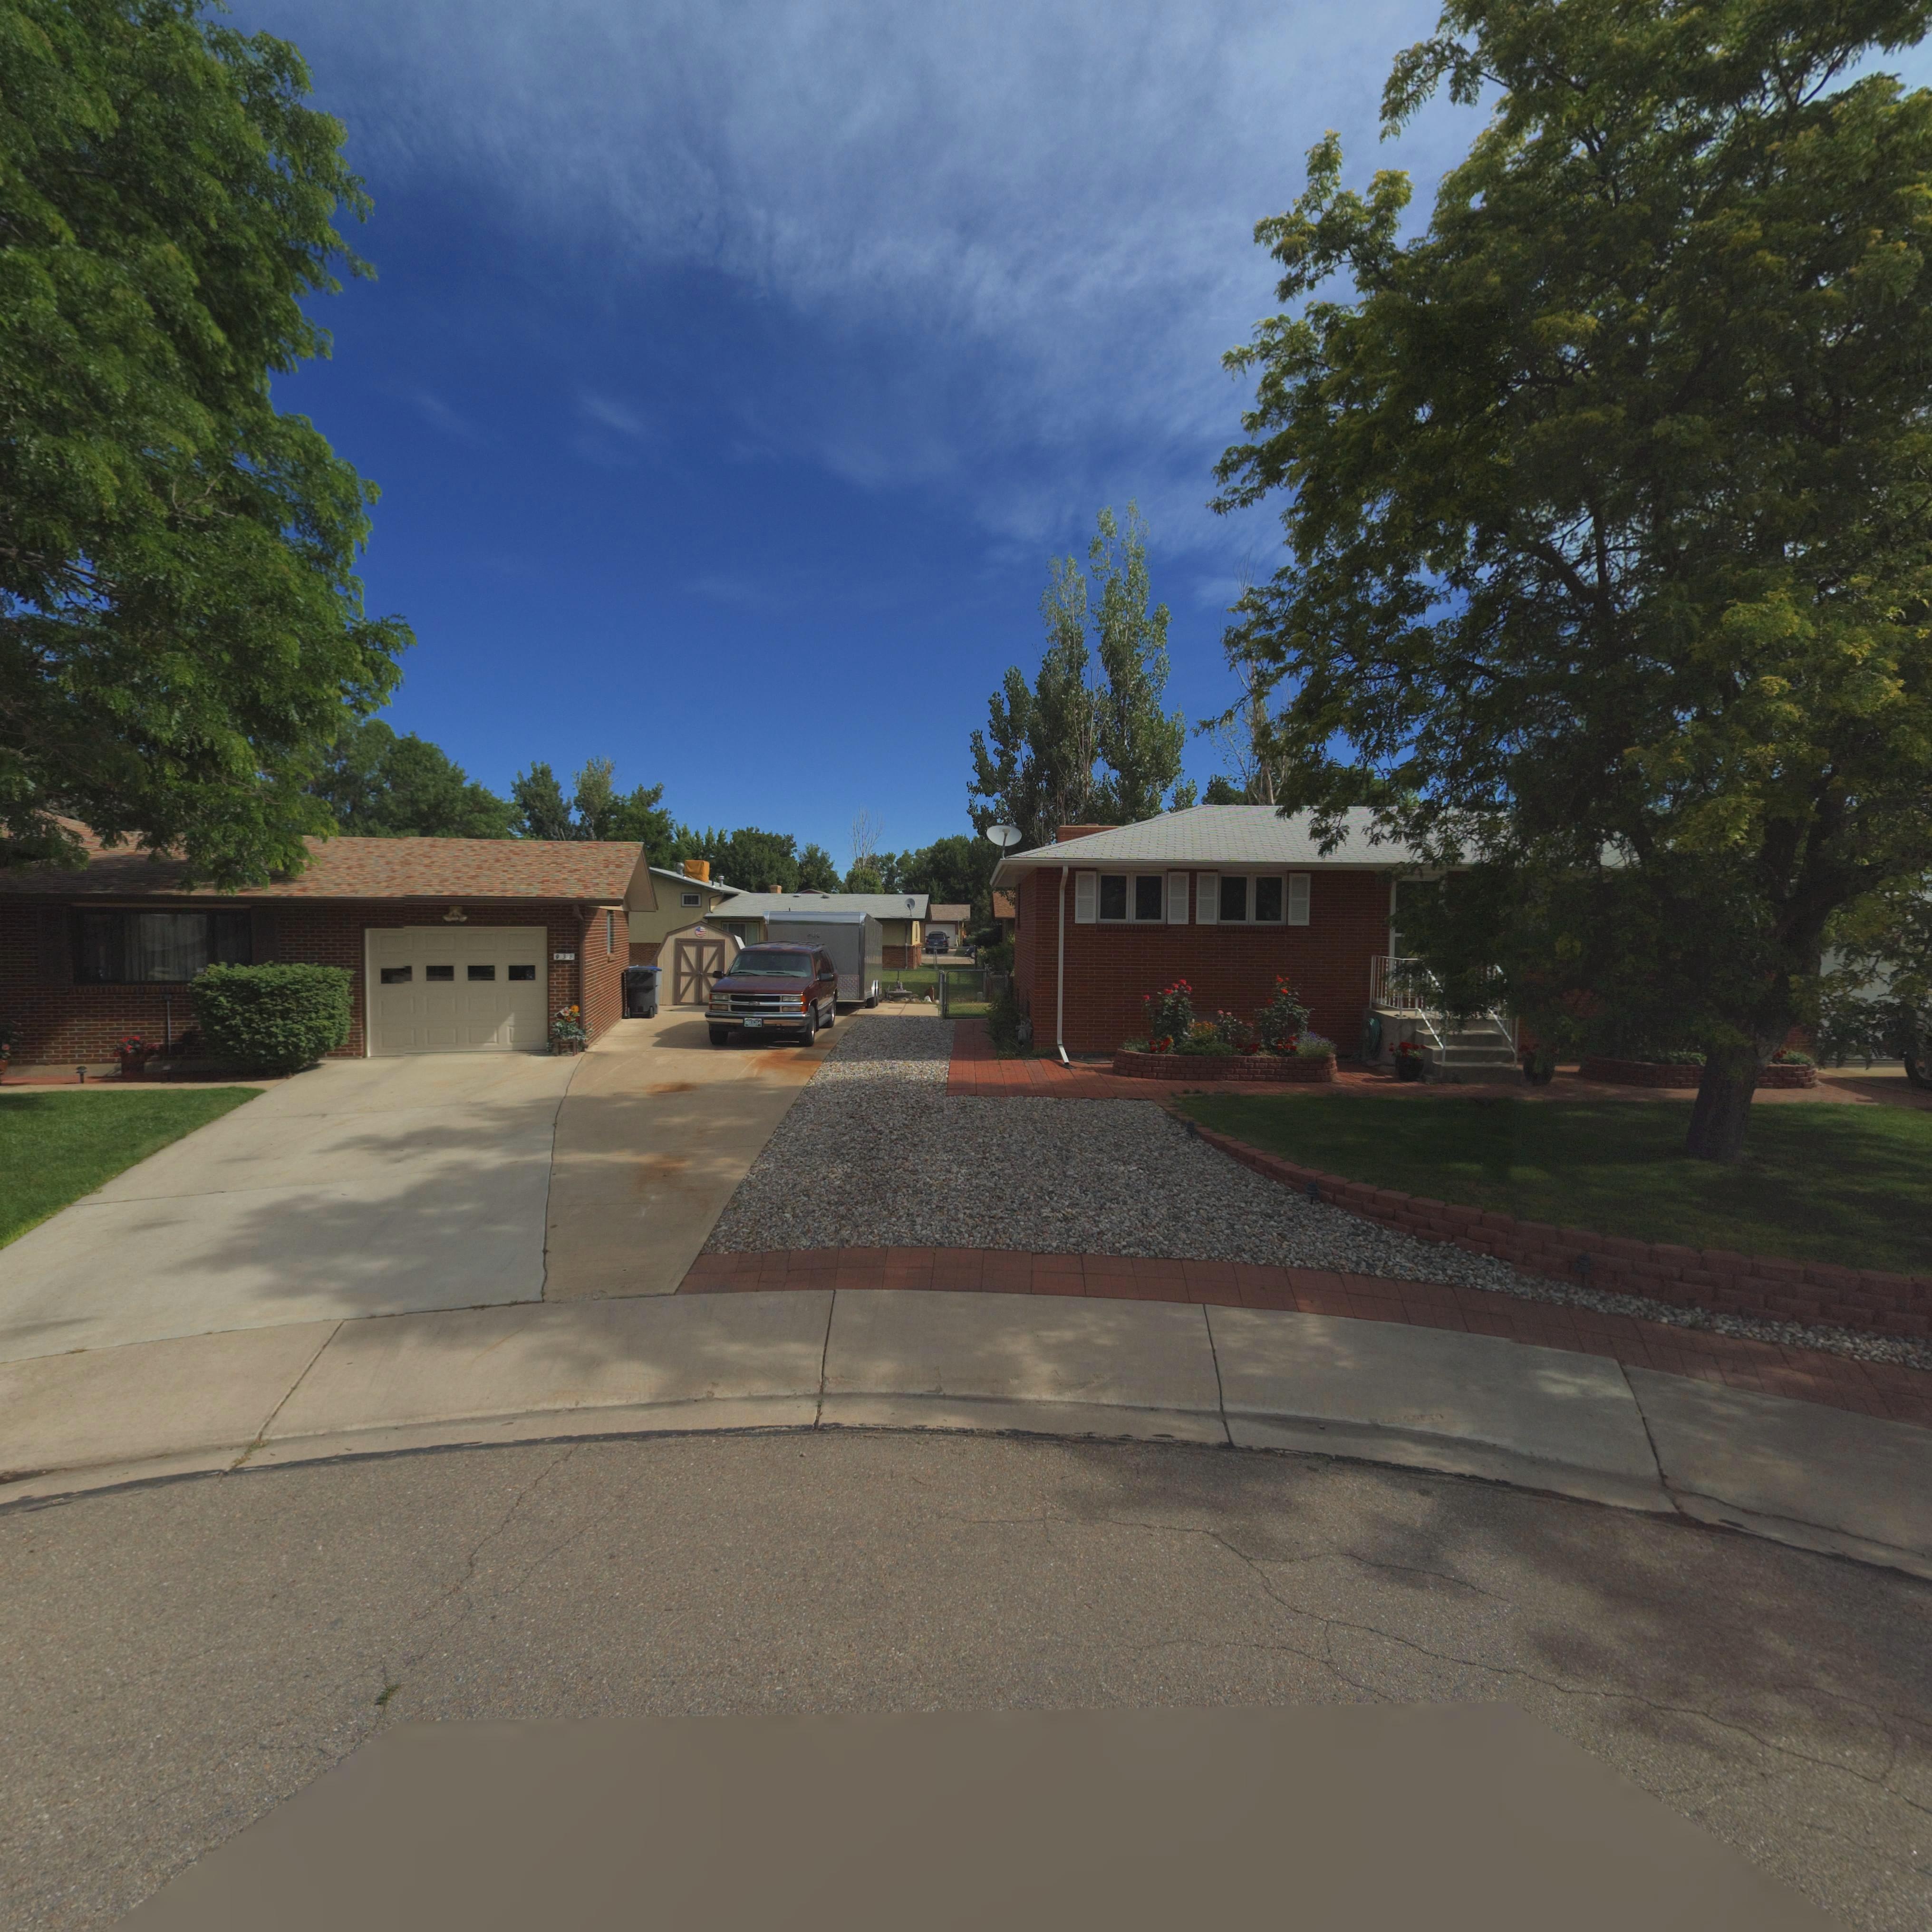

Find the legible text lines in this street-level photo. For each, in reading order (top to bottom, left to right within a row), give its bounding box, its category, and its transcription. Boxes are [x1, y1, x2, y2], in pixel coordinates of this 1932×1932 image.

[555, 954, 573, 959] StreetNumber: 938